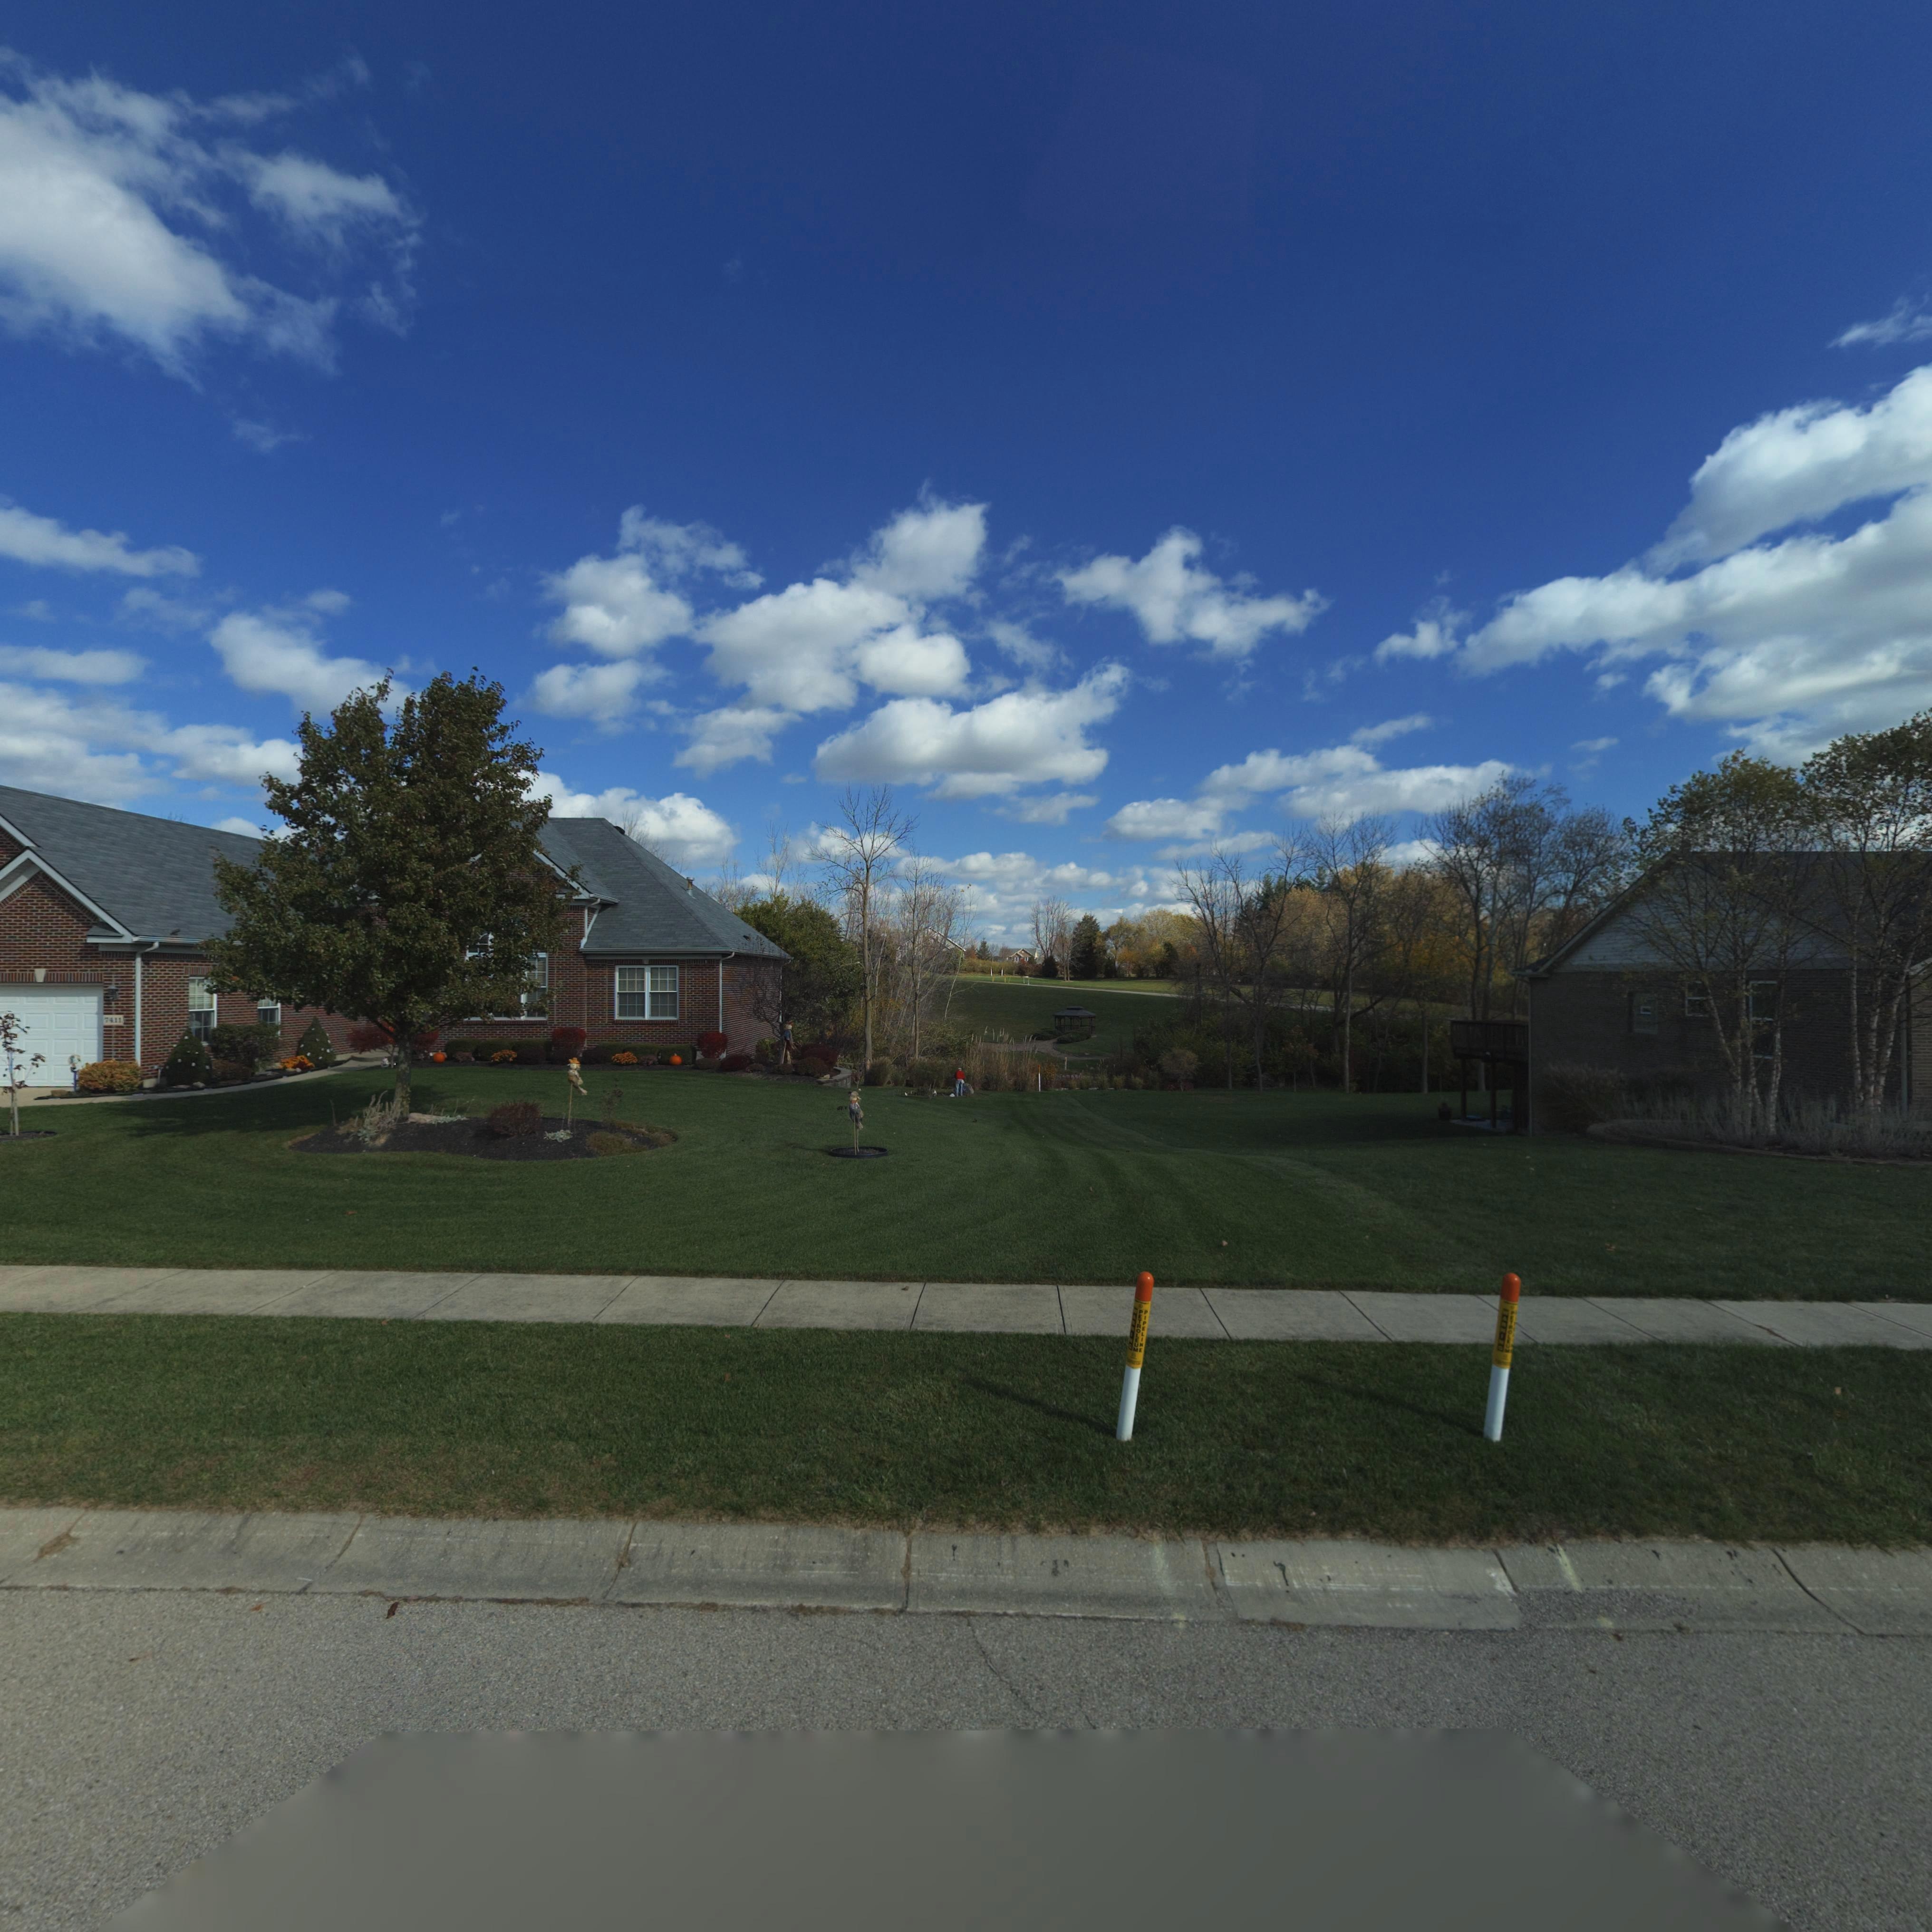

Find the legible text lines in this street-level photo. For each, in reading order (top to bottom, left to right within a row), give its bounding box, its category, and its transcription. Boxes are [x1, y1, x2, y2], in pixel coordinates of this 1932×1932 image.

[104, 1017, 122, 1024] StreetNumber: 7411